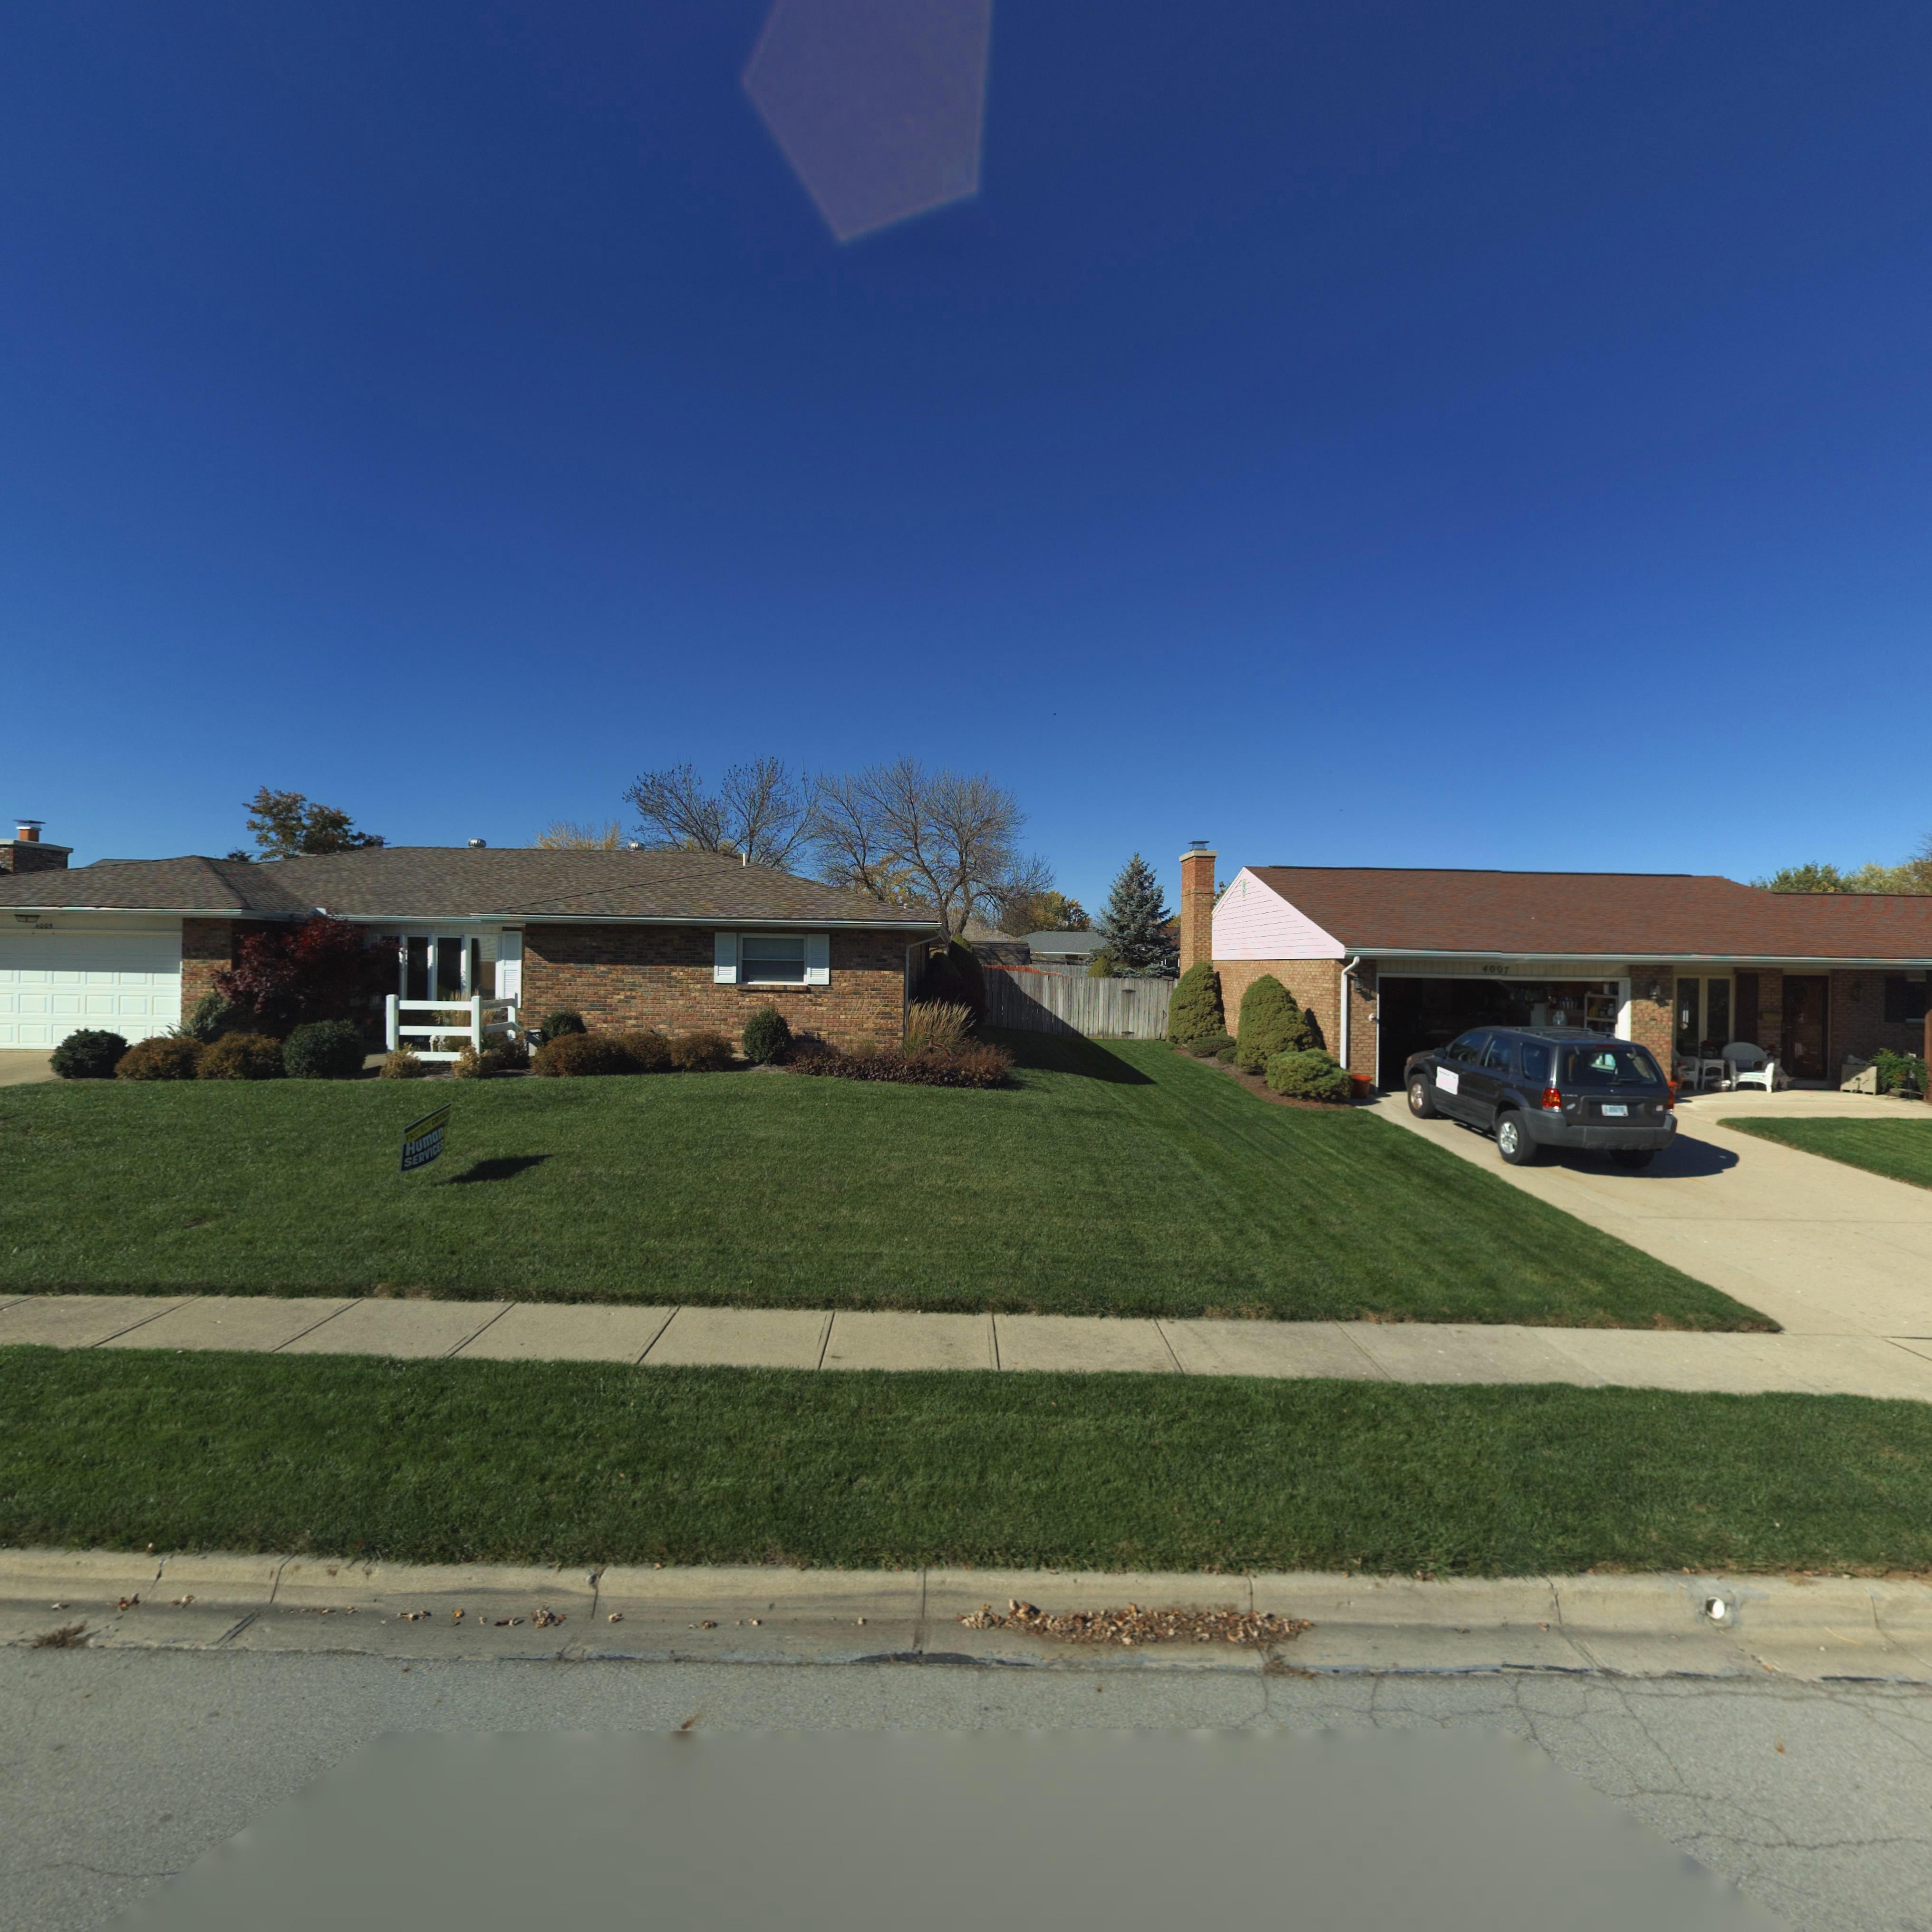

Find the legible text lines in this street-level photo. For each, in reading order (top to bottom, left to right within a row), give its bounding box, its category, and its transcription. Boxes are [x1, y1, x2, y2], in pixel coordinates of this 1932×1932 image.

[35, 923, 53, 929] StreetNumber: 4005
[1481, 965, 1511, 976] StreetNumber: 4007